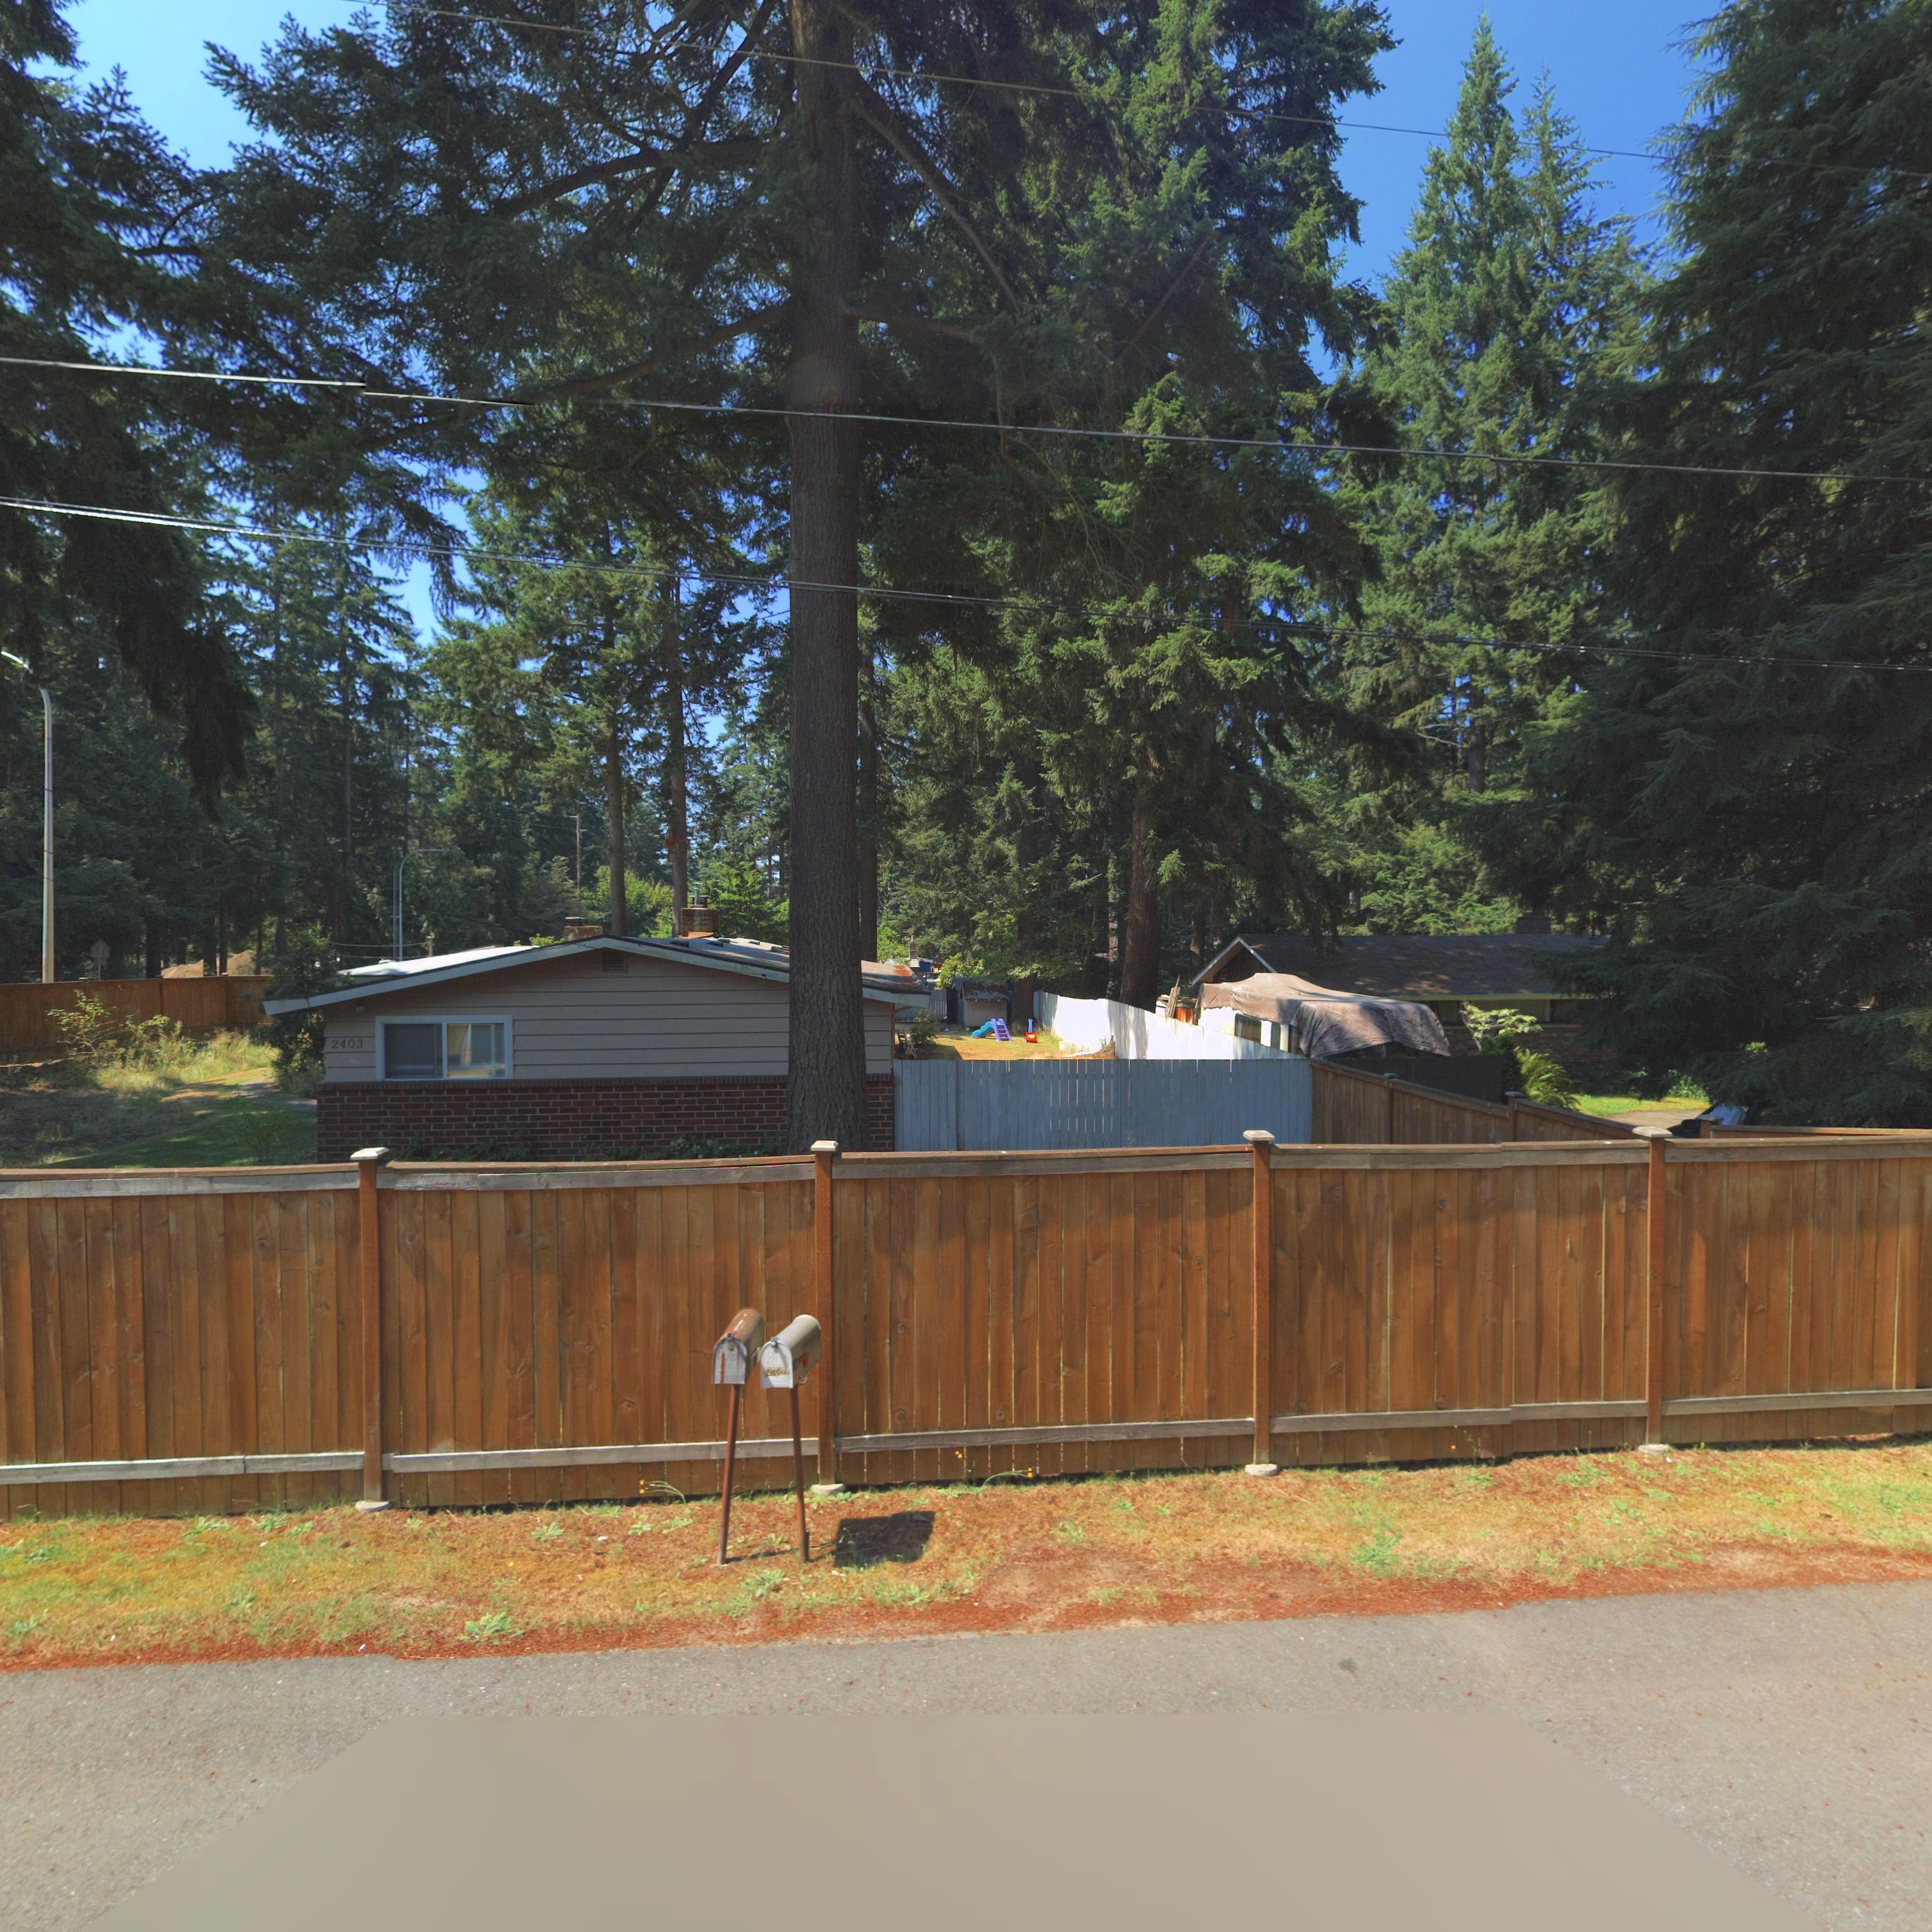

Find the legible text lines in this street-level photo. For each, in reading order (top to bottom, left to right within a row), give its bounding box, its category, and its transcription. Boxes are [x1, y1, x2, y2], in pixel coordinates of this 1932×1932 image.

[330, 1036, 364, 1049] StreetNumber: 2403